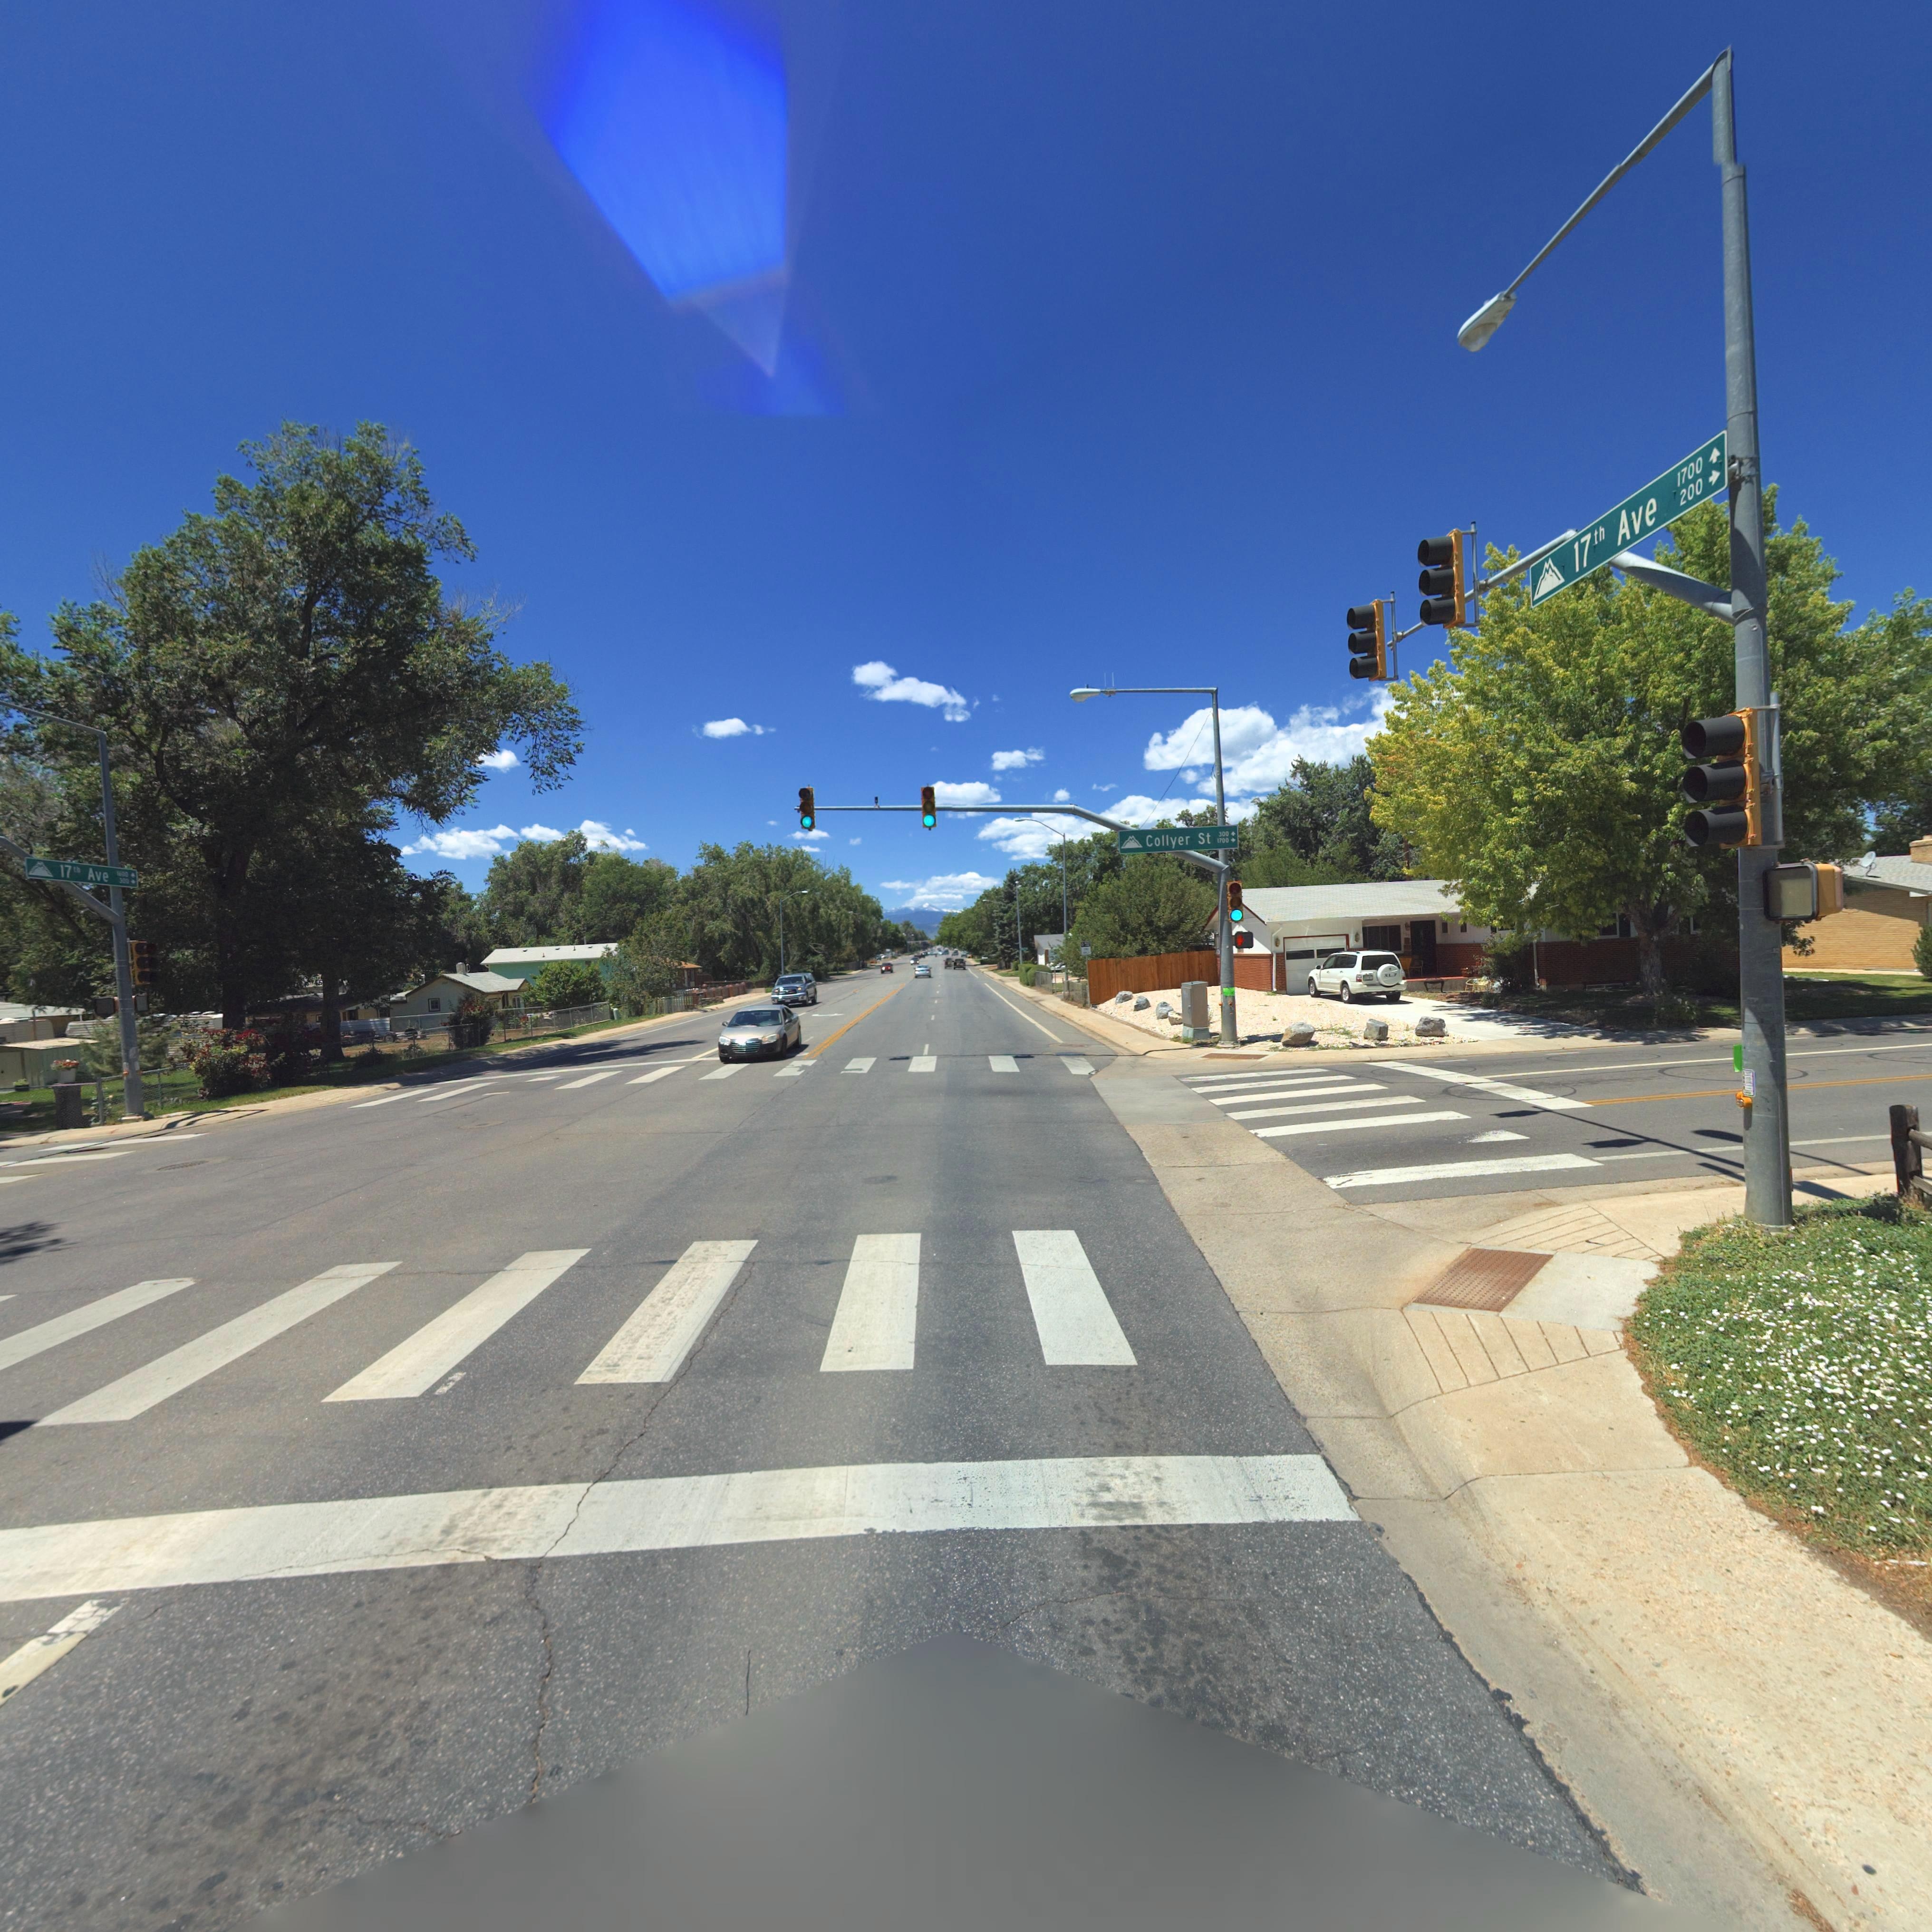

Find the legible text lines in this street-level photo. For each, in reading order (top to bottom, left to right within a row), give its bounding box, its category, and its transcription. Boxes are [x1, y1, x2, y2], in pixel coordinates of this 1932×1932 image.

[1677, 455, 1703, 487] StreetNumberRange: 1700
[1680, 470, 1721, 506] StreetNumberRange: 200->
[1573, 496, 1658, 572] StreetName: 17th Ave
[1146, 832, 1211, 849] StreetName: Collyer St
[1218, 831, 1229, 837] StreetNumberRange: 300
[1217, 837, 1236, 843] StreetNumberRange: 1700->
[60, 864, 109, 882] StreetName: 17th Ave
[116, 871, 128, 877] StreetNumberRange: 1600
[119, 878, 136, 884] StreetNumberRange: 300->